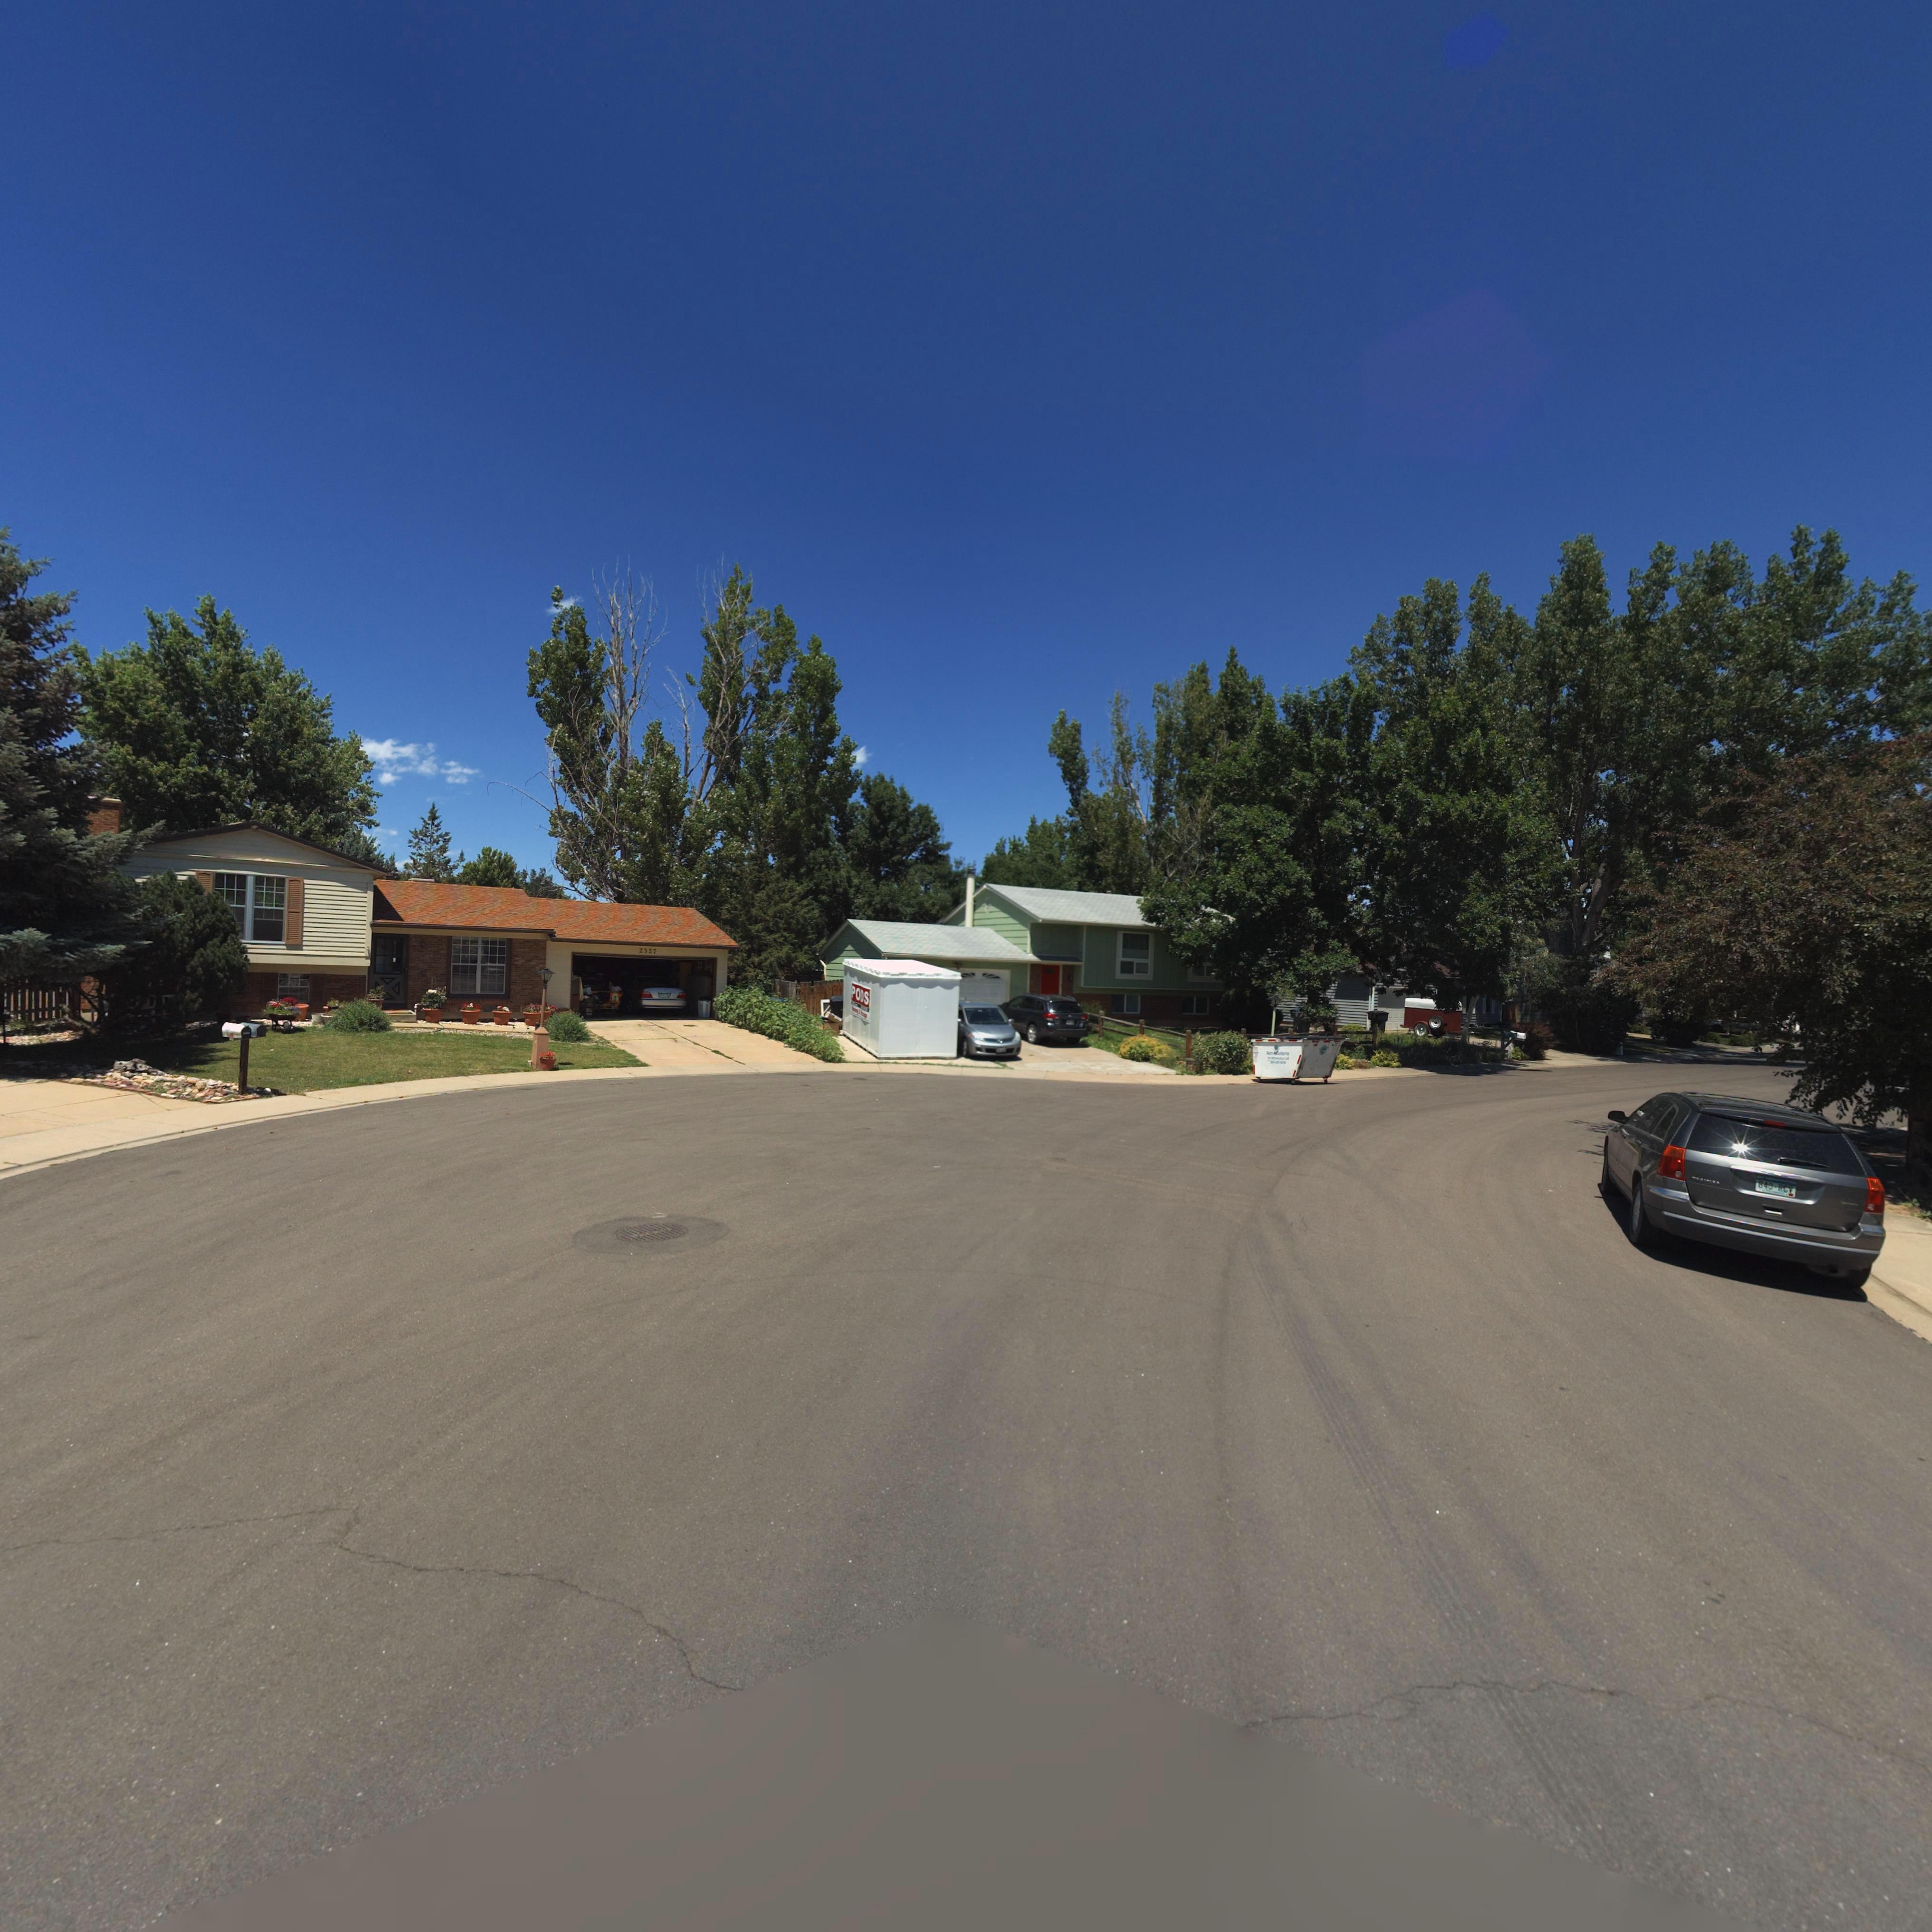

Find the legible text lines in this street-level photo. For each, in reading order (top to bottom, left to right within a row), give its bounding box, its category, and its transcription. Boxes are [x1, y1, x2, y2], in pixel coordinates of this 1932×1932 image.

[639, 947, 656, 954] StreetNumber: 2327